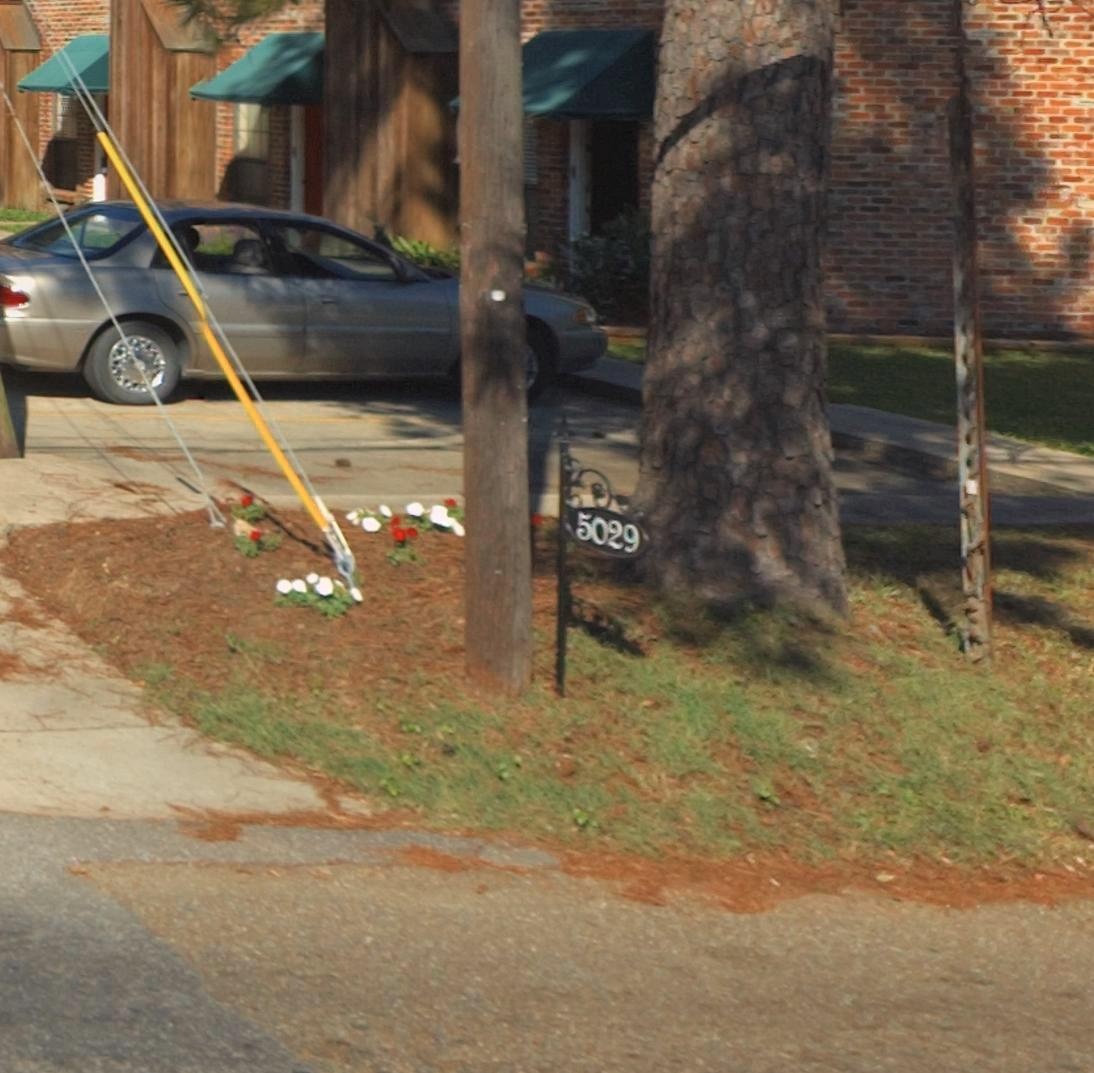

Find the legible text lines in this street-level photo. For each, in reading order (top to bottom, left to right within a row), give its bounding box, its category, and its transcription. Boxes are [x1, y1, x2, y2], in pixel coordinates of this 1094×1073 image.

[574, 508, 642, 558] StreetNumber: 5029